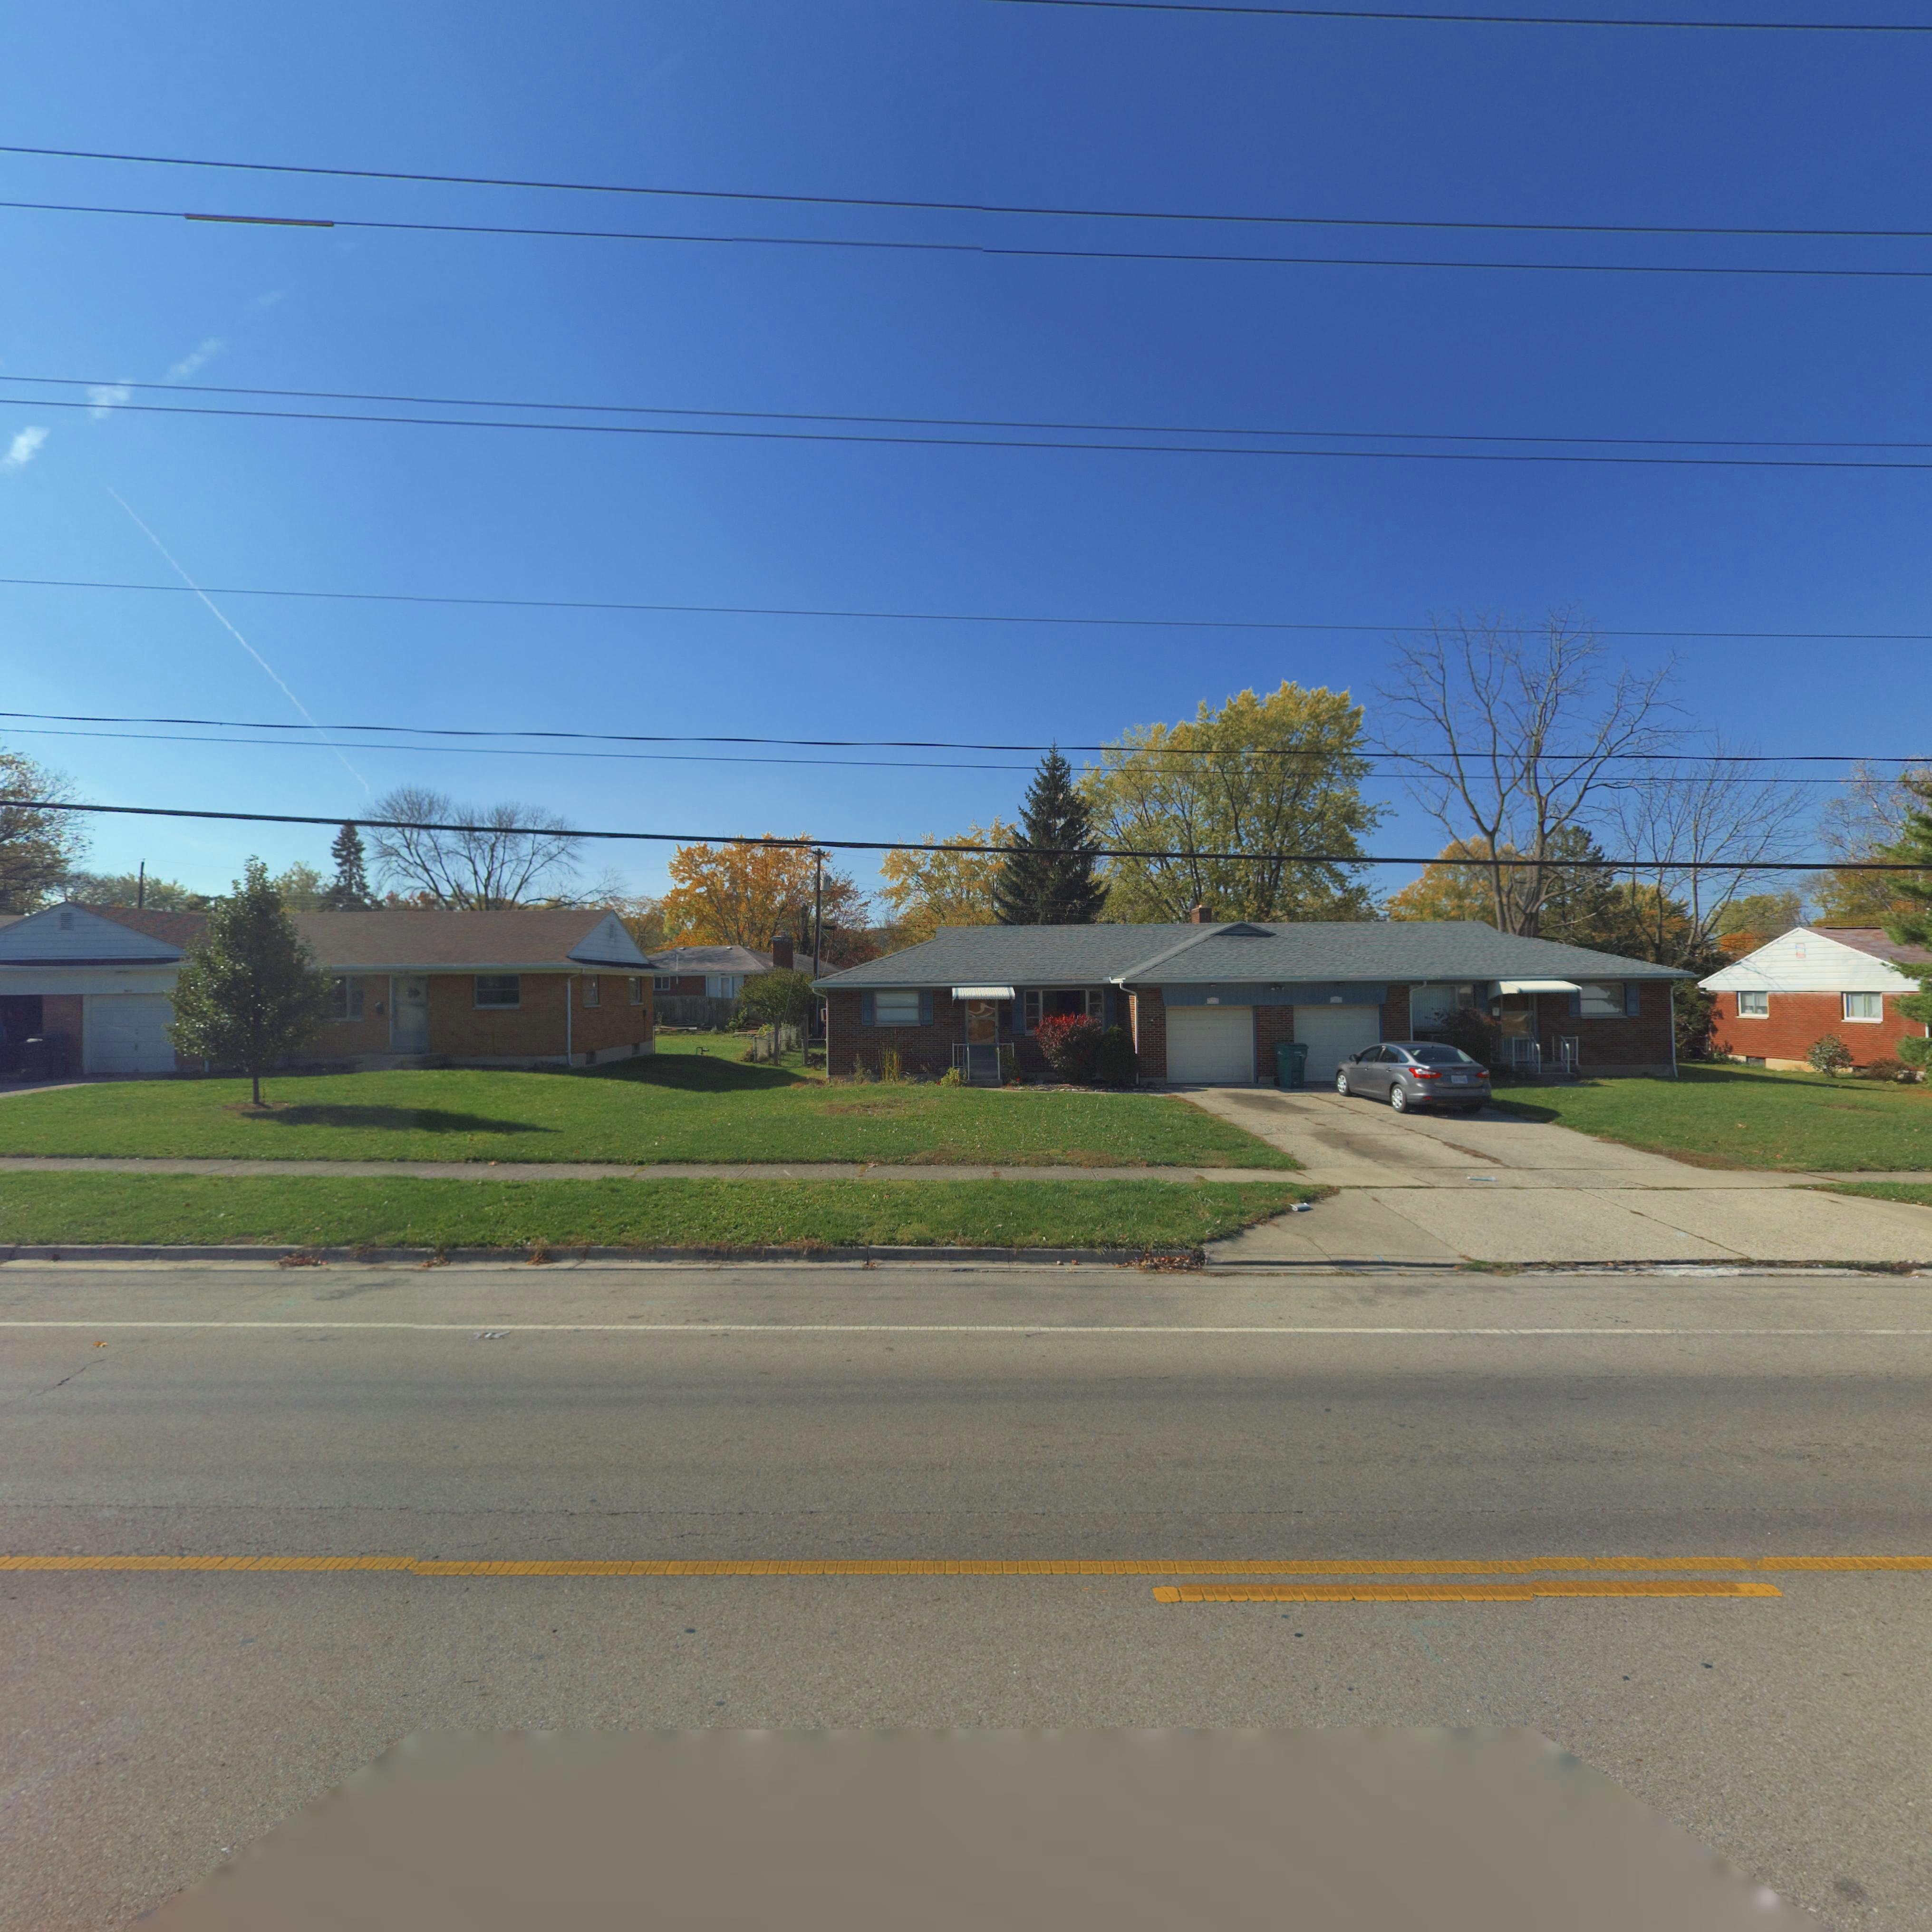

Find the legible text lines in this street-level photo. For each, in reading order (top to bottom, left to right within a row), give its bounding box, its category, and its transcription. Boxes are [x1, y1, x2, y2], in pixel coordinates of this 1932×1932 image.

[123, 988, 133, 993] StreetNumber: 3817
[1207, 999, 1217, 1003] StreetNumber: 3813
[1331, 997, 1341, 1001] StreetNumber: 3809